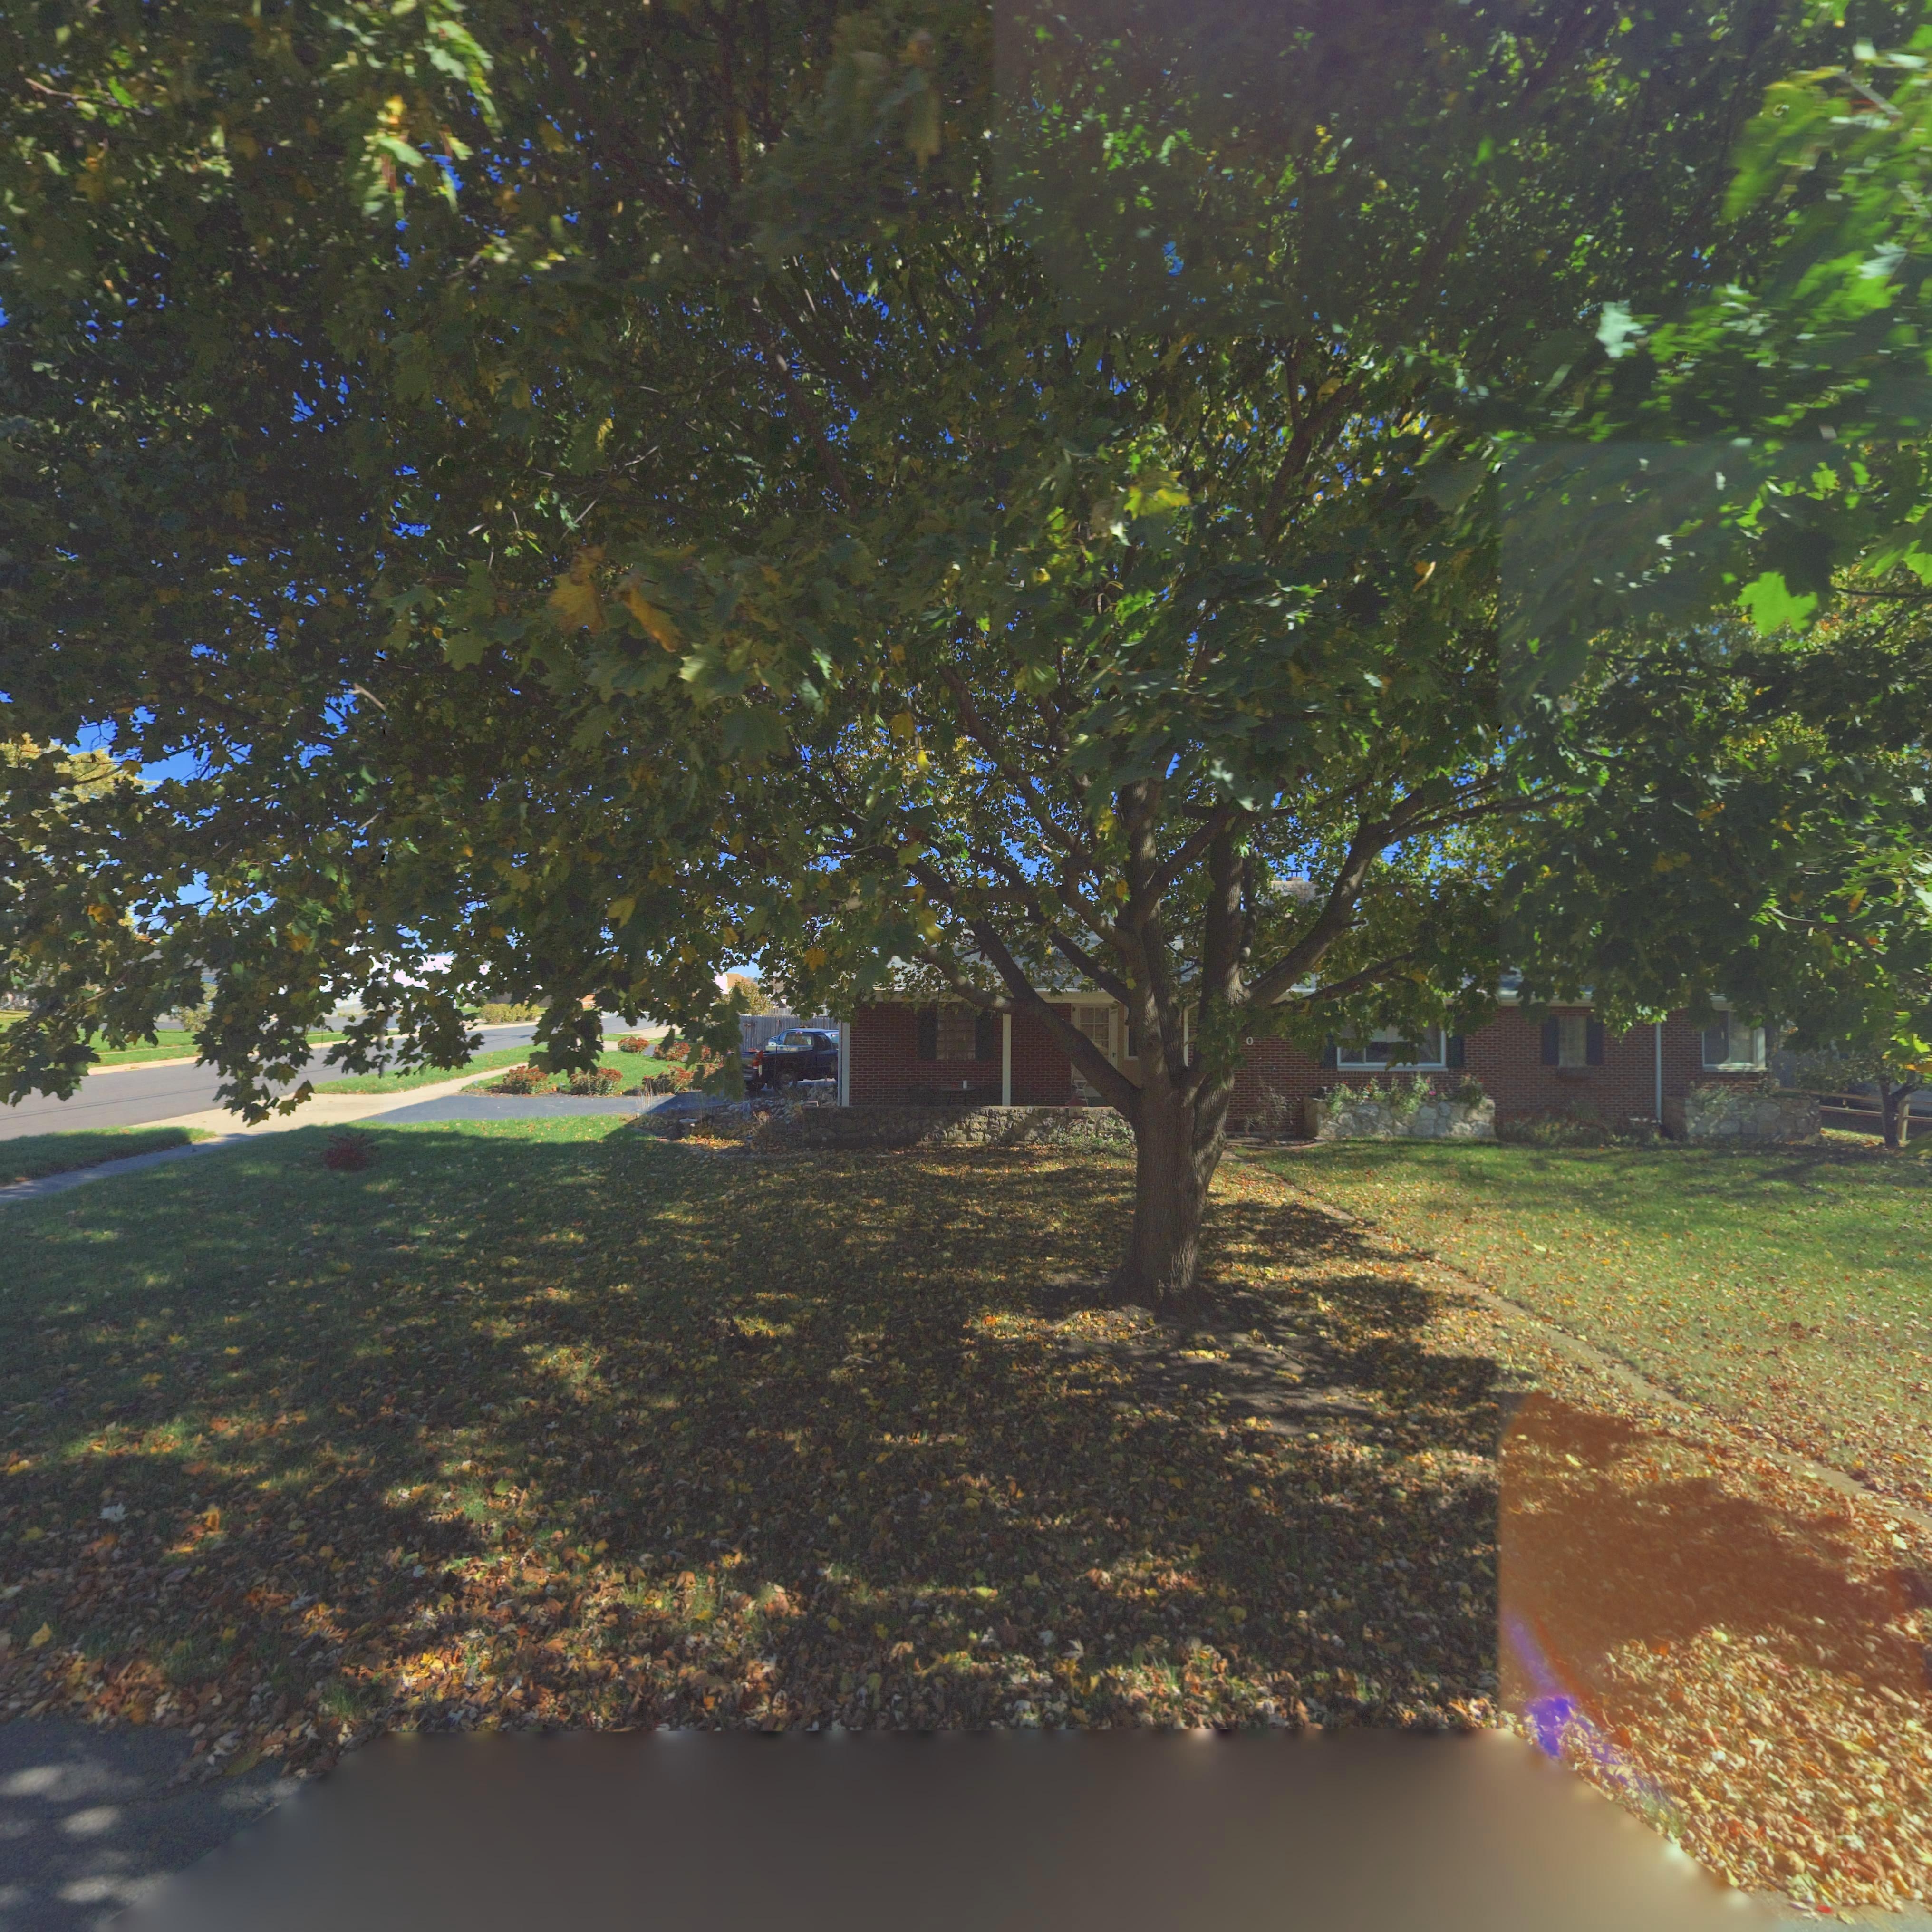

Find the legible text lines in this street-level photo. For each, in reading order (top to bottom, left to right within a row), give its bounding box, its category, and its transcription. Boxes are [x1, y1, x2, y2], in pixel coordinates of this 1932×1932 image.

[1246, 1036, 1254, 1045] StreetNumber: 0